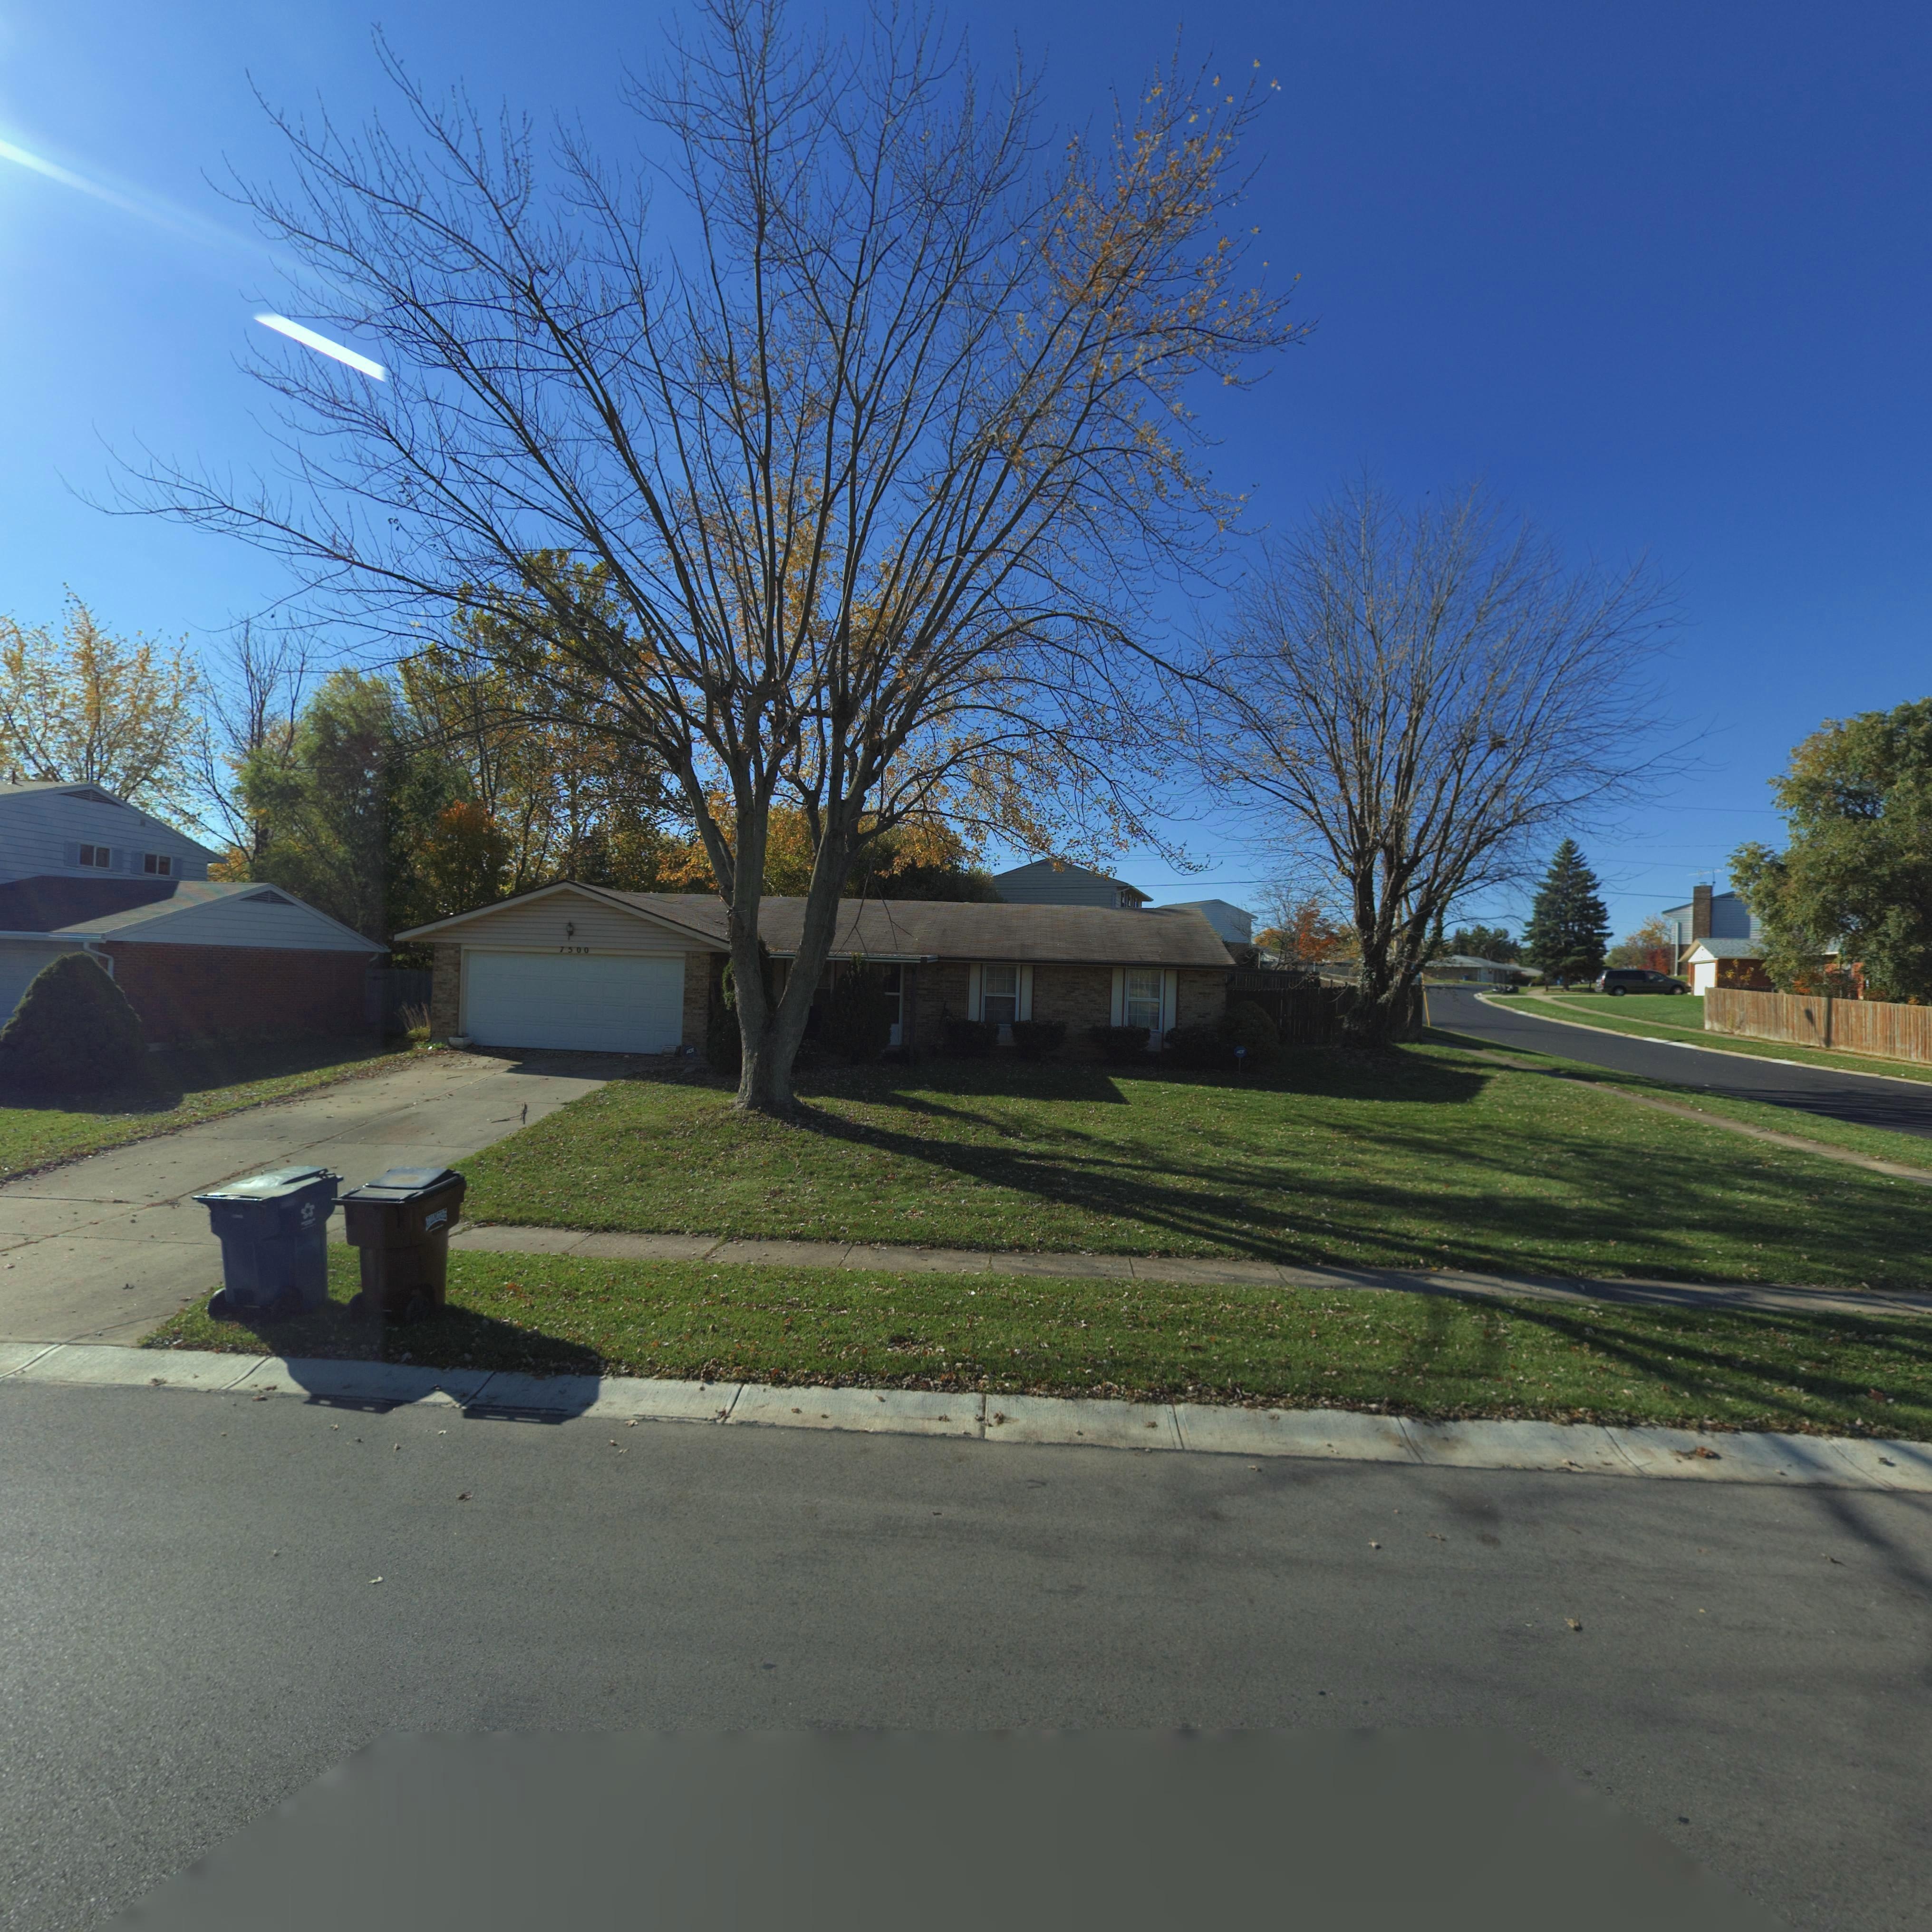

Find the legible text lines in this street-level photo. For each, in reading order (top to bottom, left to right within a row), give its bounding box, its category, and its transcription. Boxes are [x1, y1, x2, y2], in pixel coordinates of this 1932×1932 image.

[559, 946, 589, 955] StreetNumber: 7500